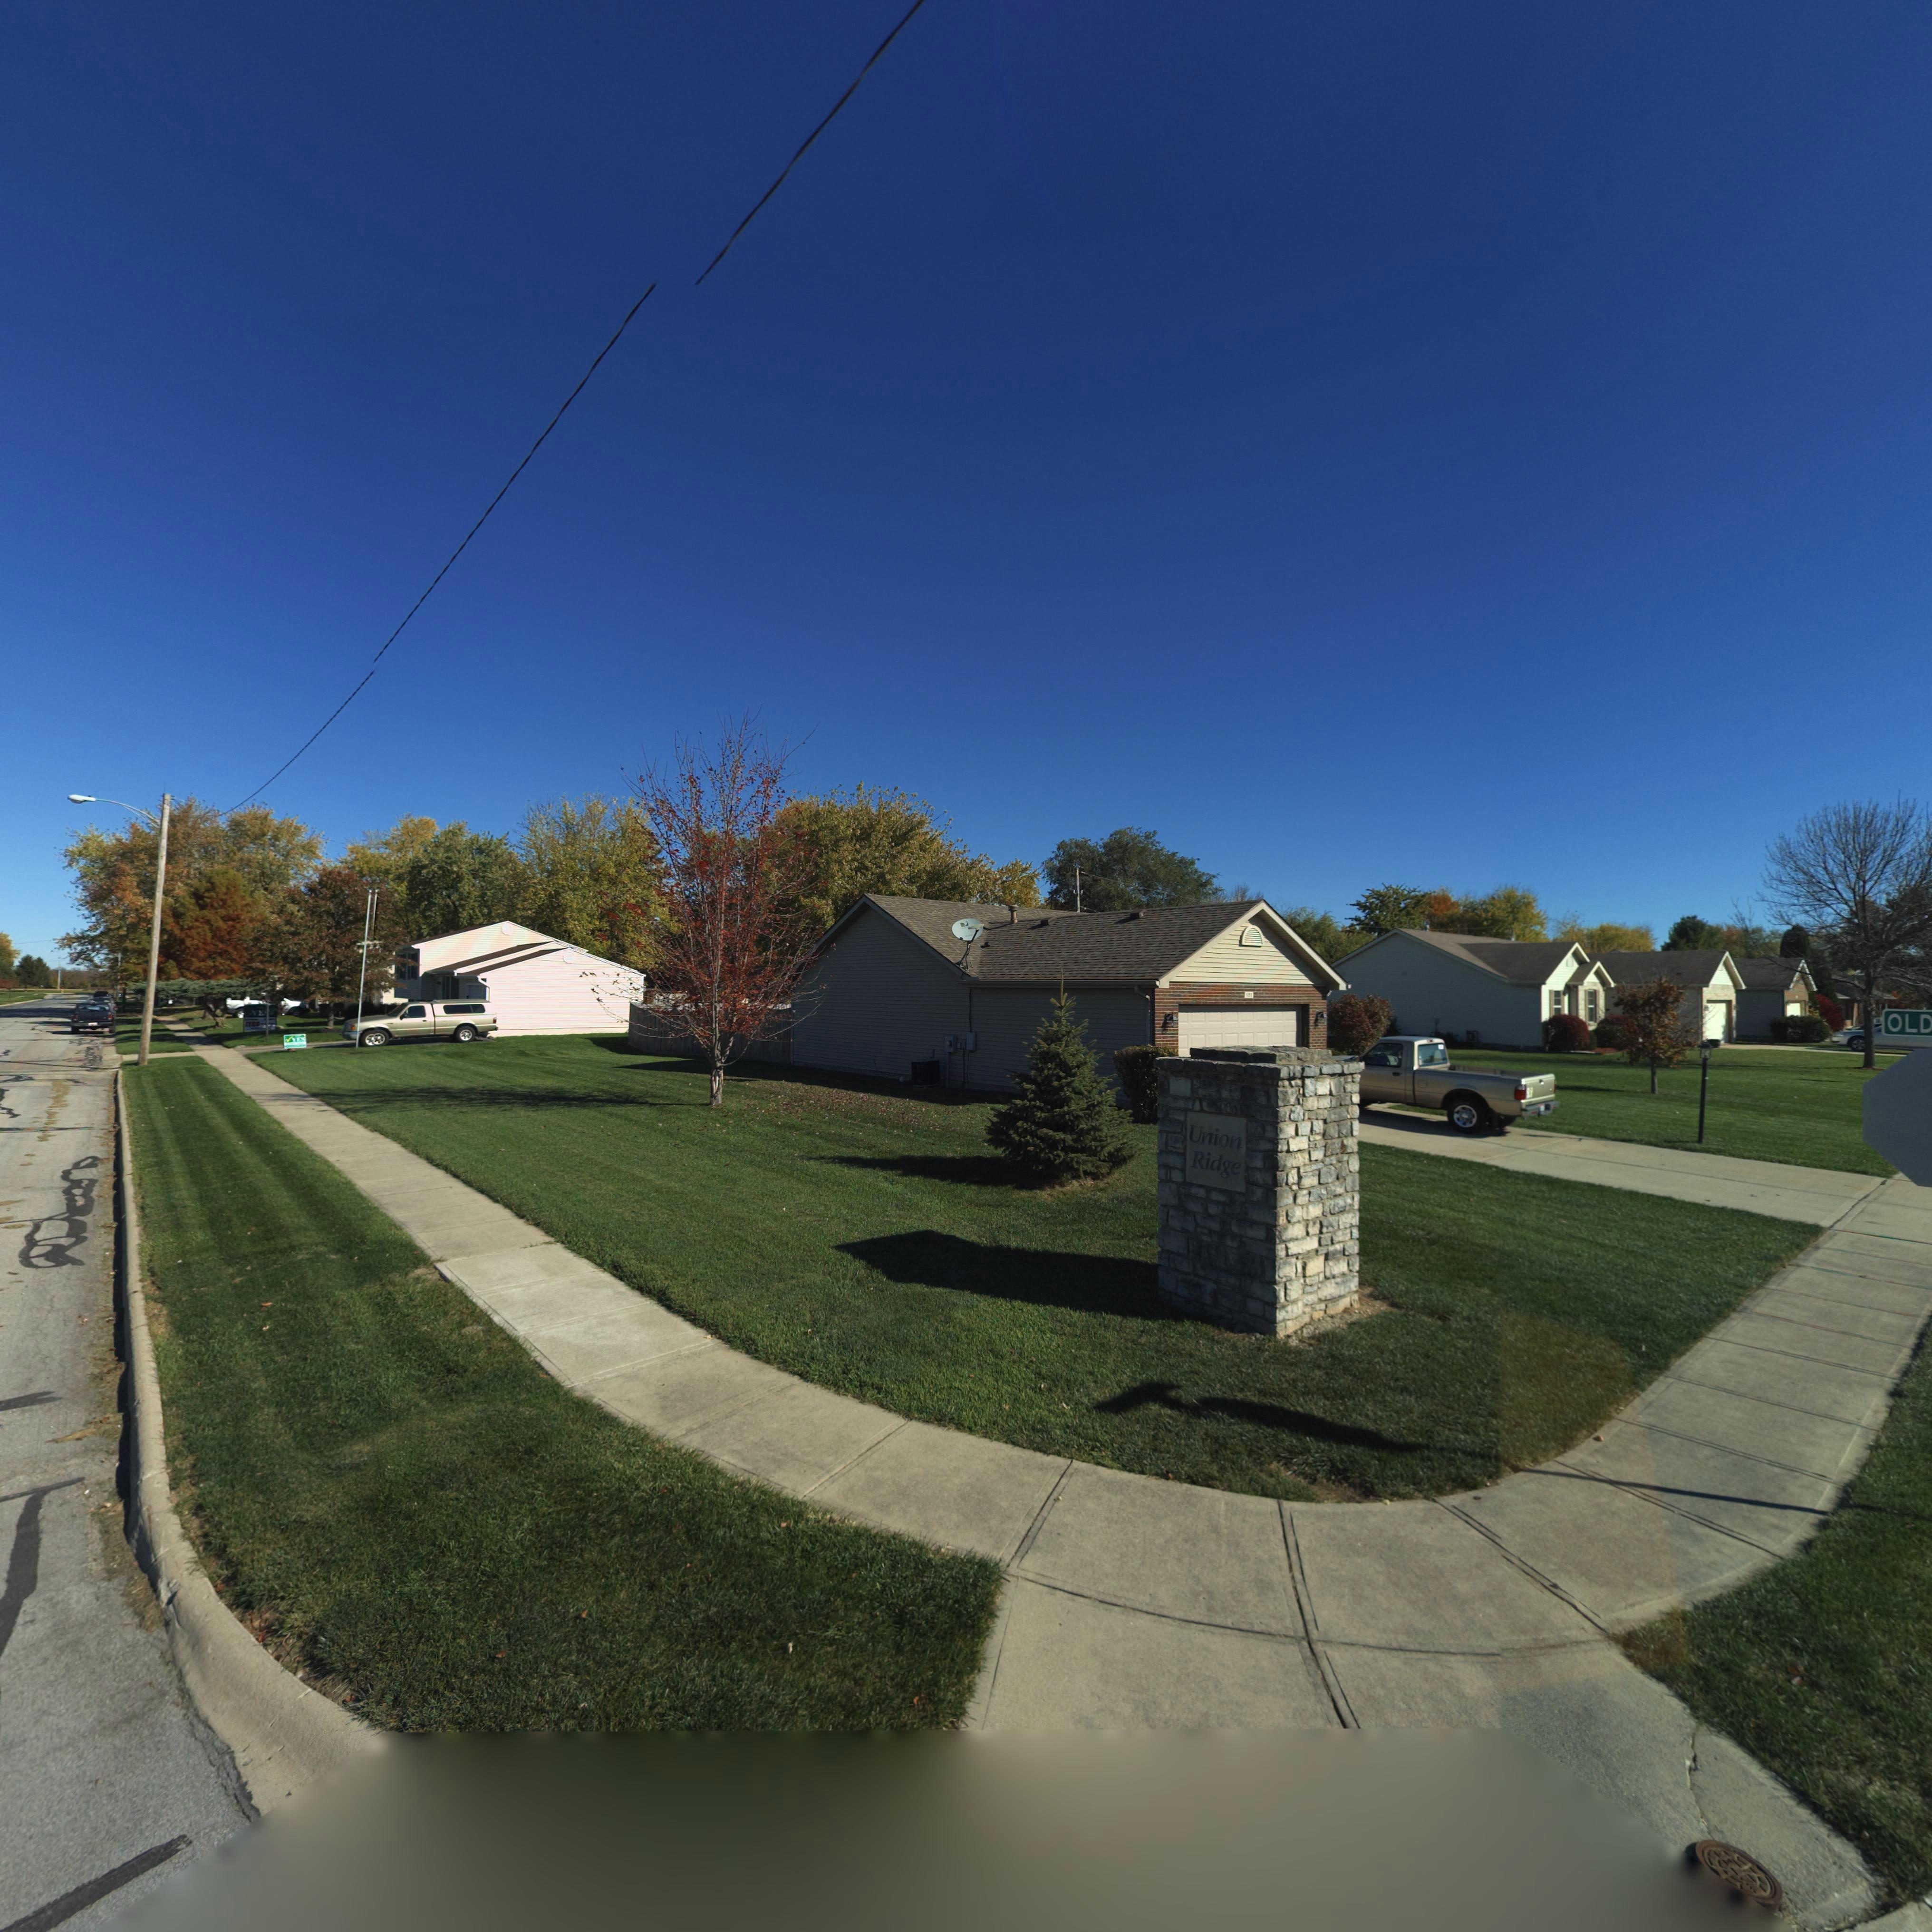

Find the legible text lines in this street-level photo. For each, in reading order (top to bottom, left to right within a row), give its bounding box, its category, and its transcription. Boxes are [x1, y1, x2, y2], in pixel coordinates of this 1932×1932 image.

[1246, 992, 1252, 997] StreetNumber: 1*1
[1189, 1123, 1244, 1154] None: Union
[1189, 1150, 1243, 1182] None: Ridge